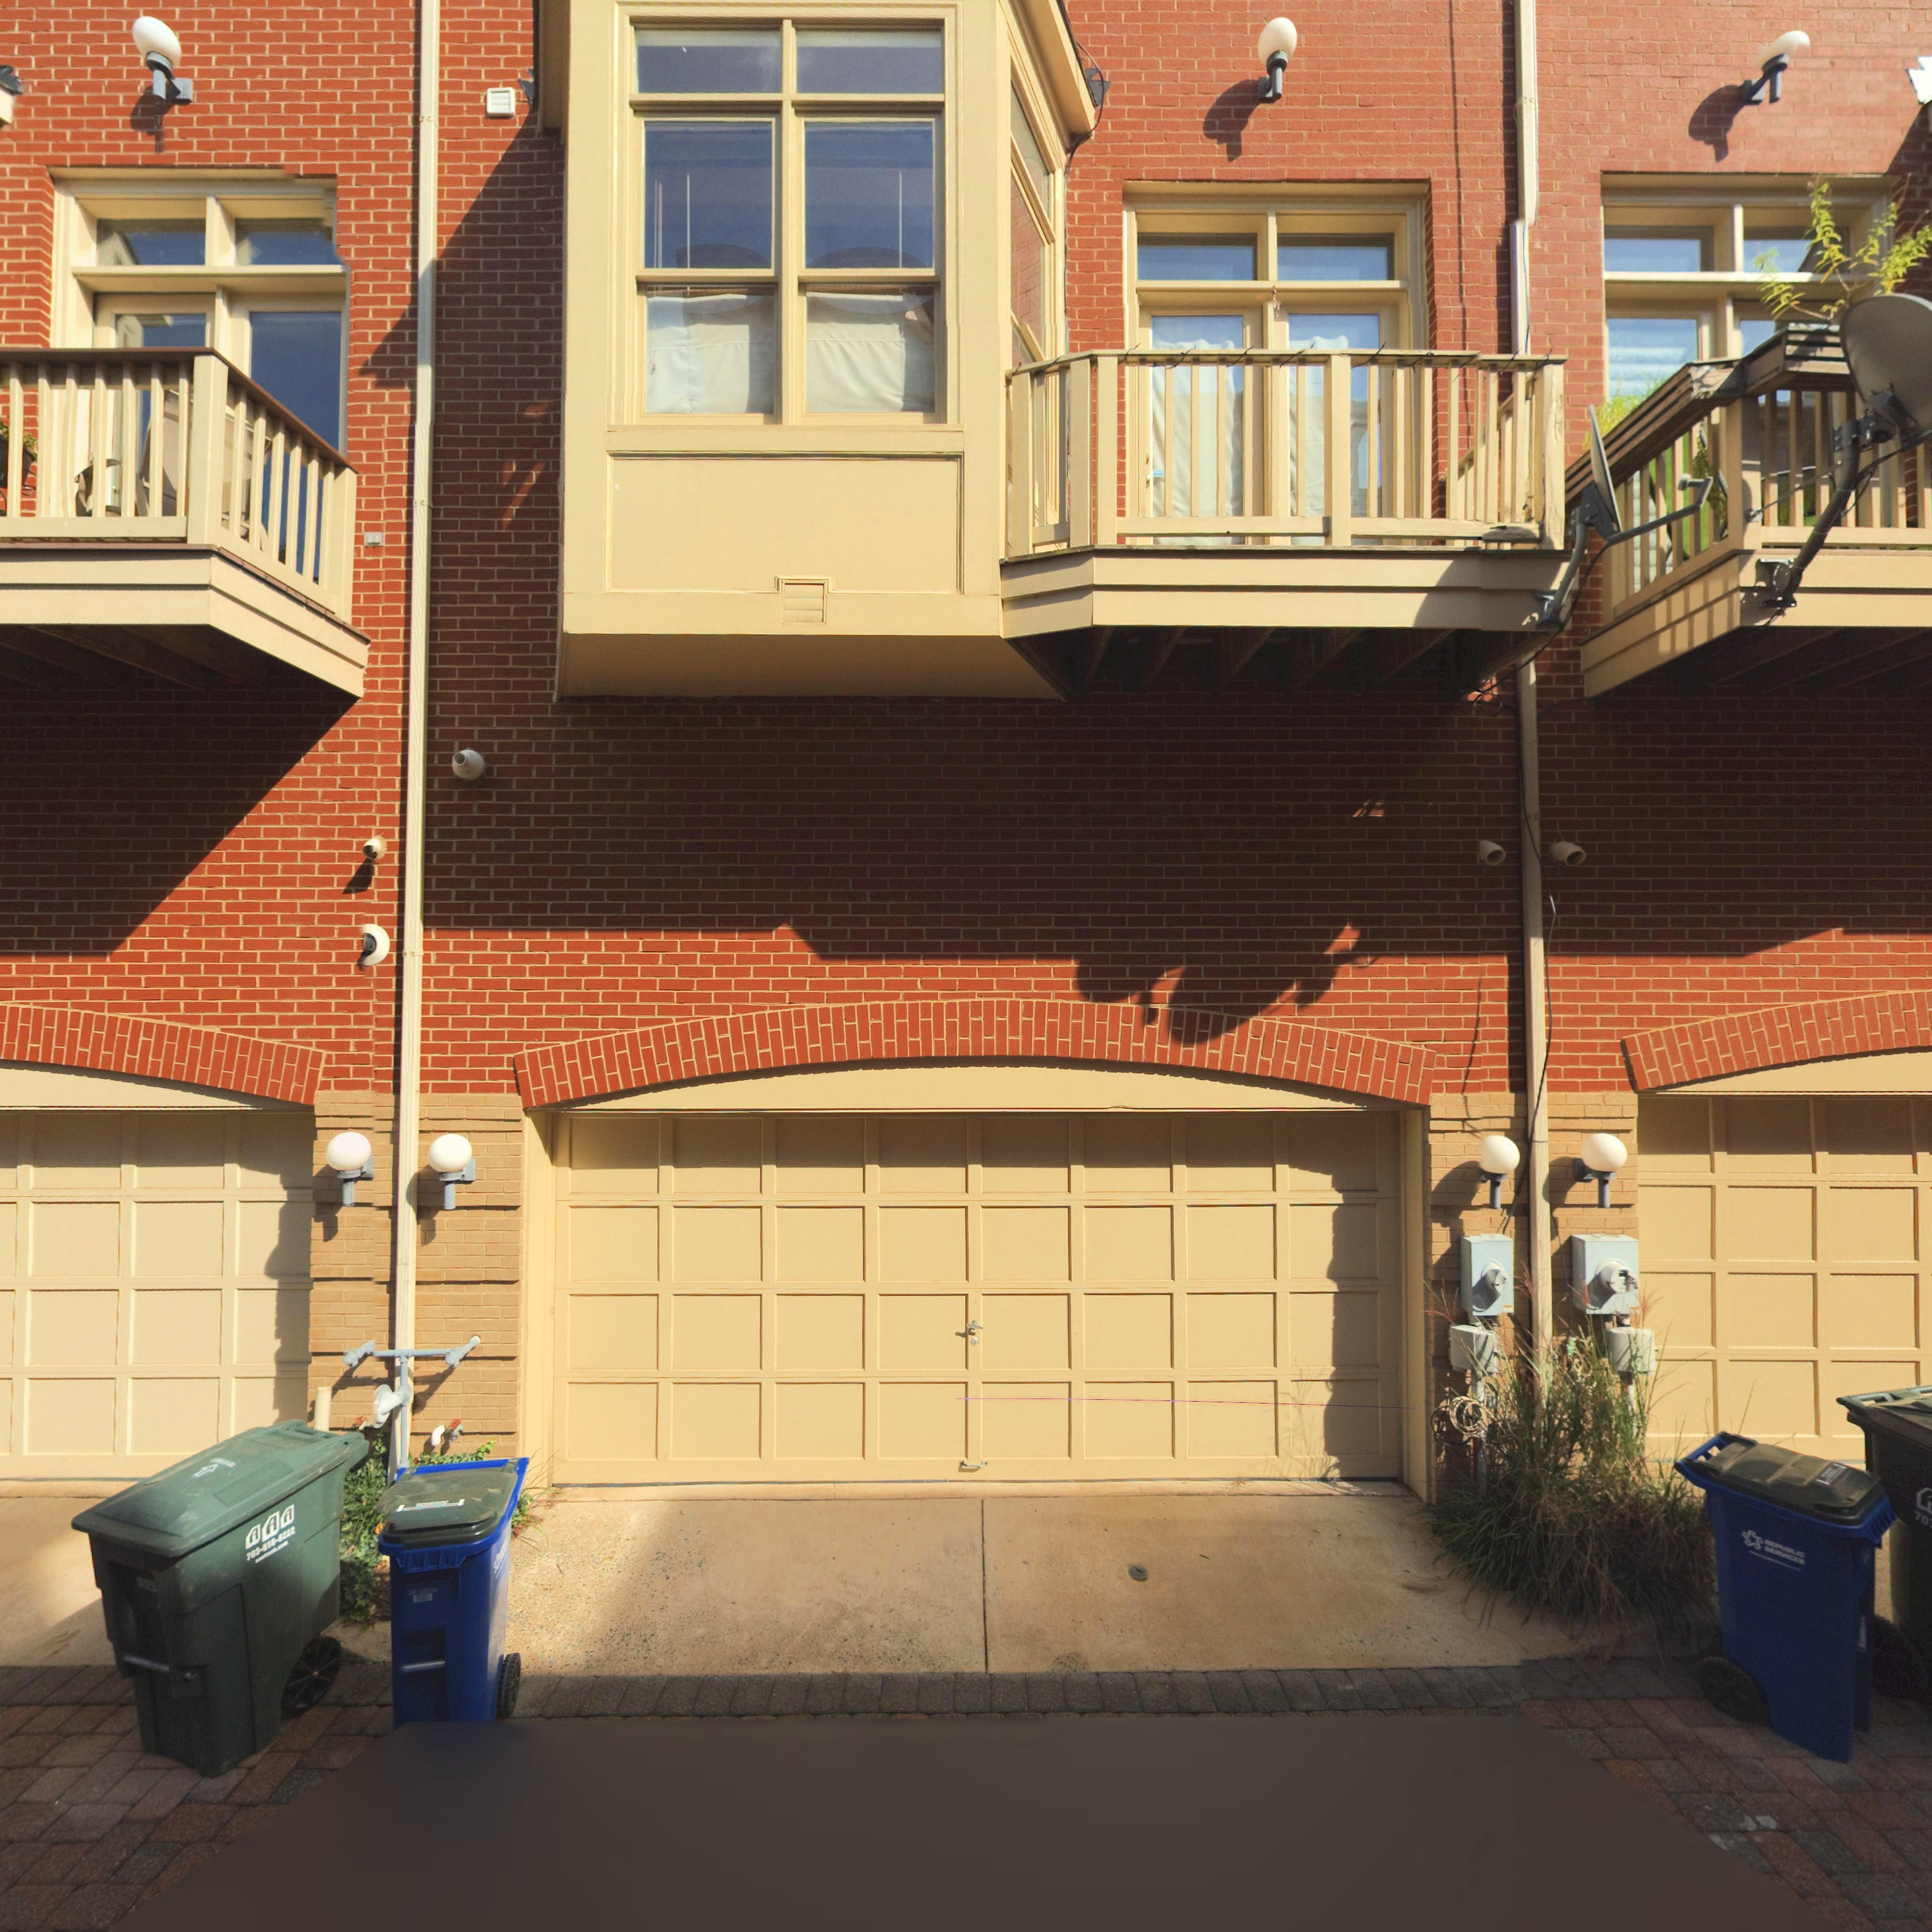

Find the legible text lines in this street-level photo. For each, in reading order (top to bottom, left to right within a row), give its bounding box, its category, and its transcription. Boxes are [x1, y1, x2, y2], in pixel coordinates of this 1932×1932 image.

[249, 1507, 293, 1545] None: AAA
[1913, 1510, 1929, 1527] None: 70
[245, 1524, 296, 1563] None: 703-*18*222
[1763, 1545, 1806, 1566] None: SERVICES
[1764, 1538, 1806, 1559] None: REPUBLIC
[407, 1586, 438, 1596] None: 358 000010